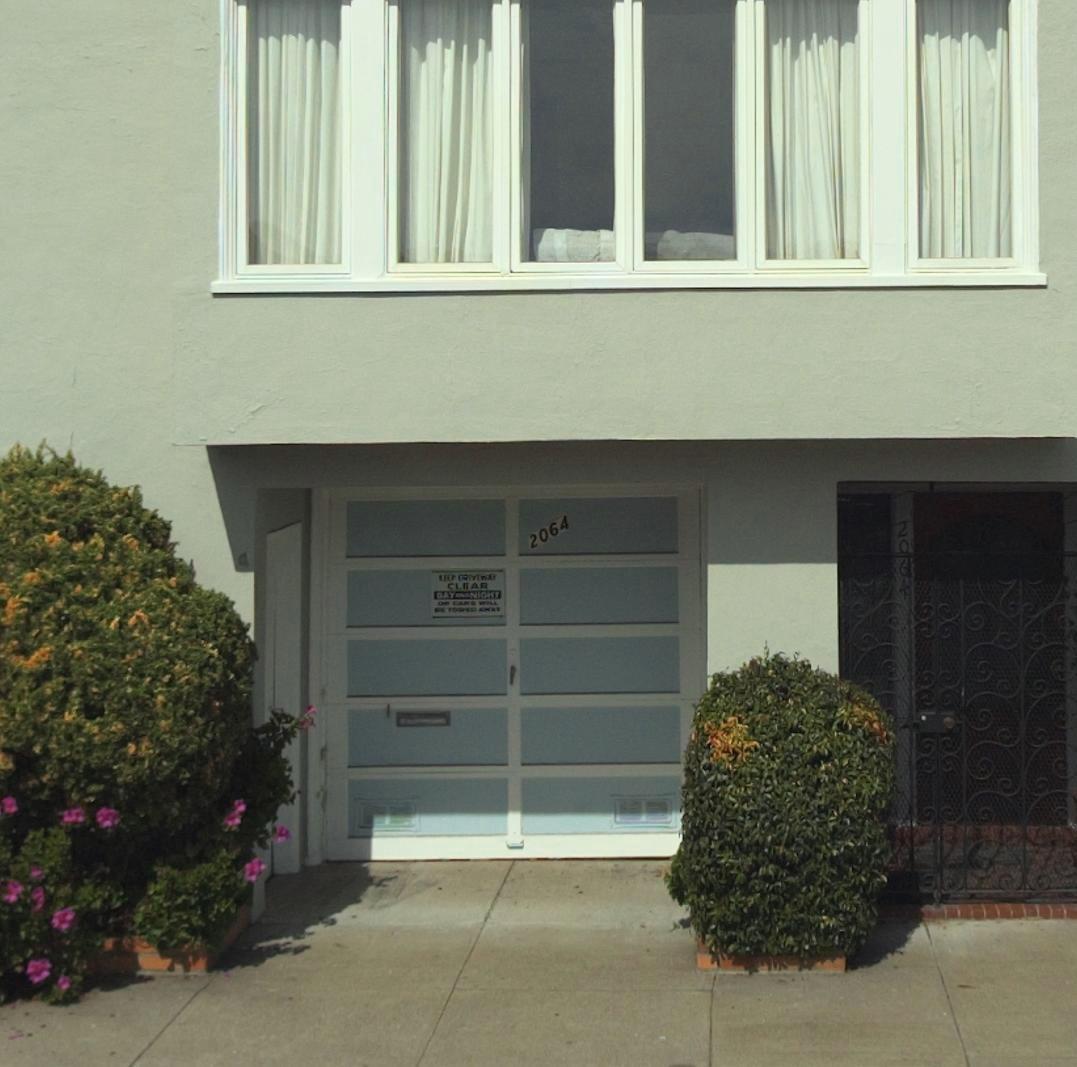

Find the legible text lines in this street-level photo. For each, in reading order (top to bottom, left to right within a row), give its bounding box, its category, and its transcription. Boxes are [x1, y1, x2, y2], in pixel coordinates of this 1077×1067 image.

[526, 512, 572, 552] StreetNumber: 2064
[444, 579, 491, 592] None: CL*AR
[434, 590, 501, 600] None: DAY *** NIGHT